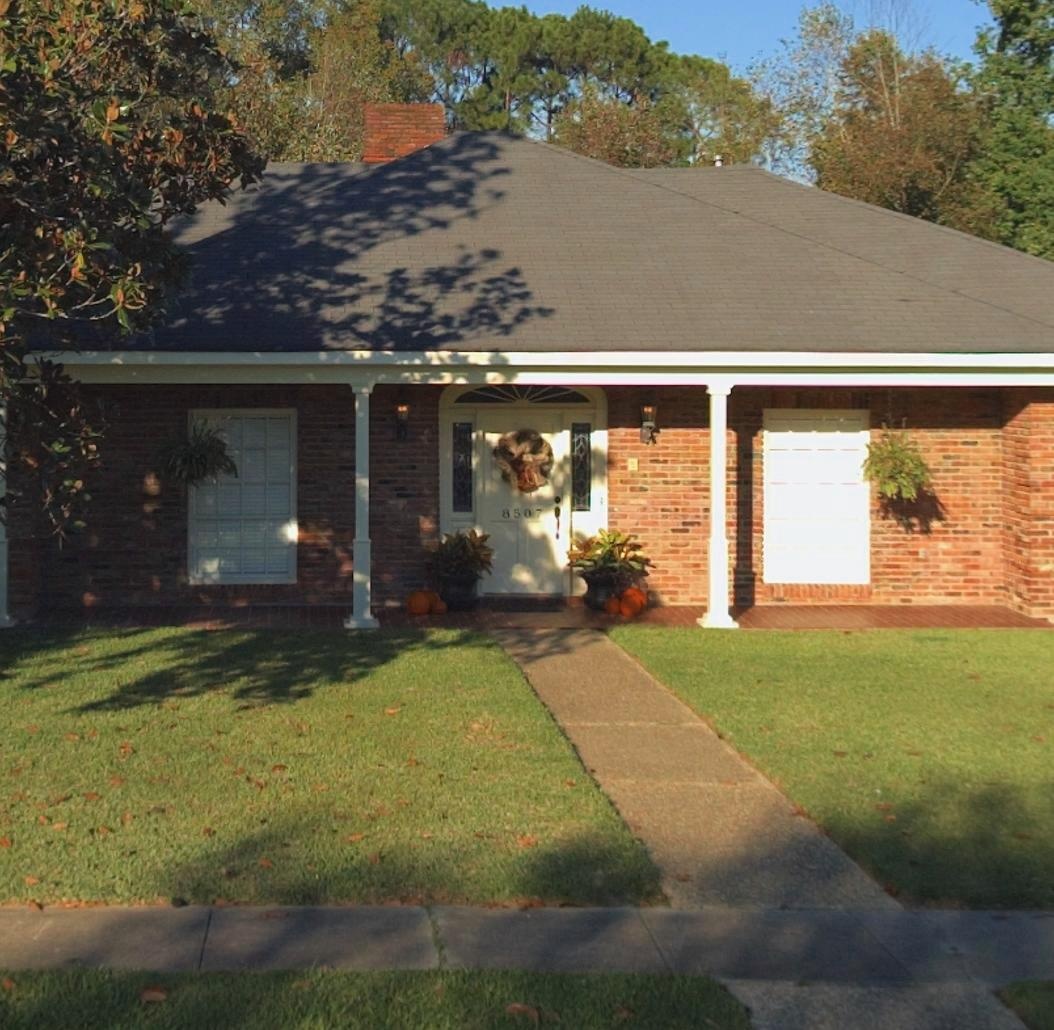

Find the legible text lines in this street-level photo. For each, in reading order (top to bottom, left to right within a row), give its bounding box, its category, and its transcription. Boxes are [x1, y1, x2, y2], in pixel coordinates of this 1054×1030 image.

[501, 507, 544, 520] StreetNumber: 8507